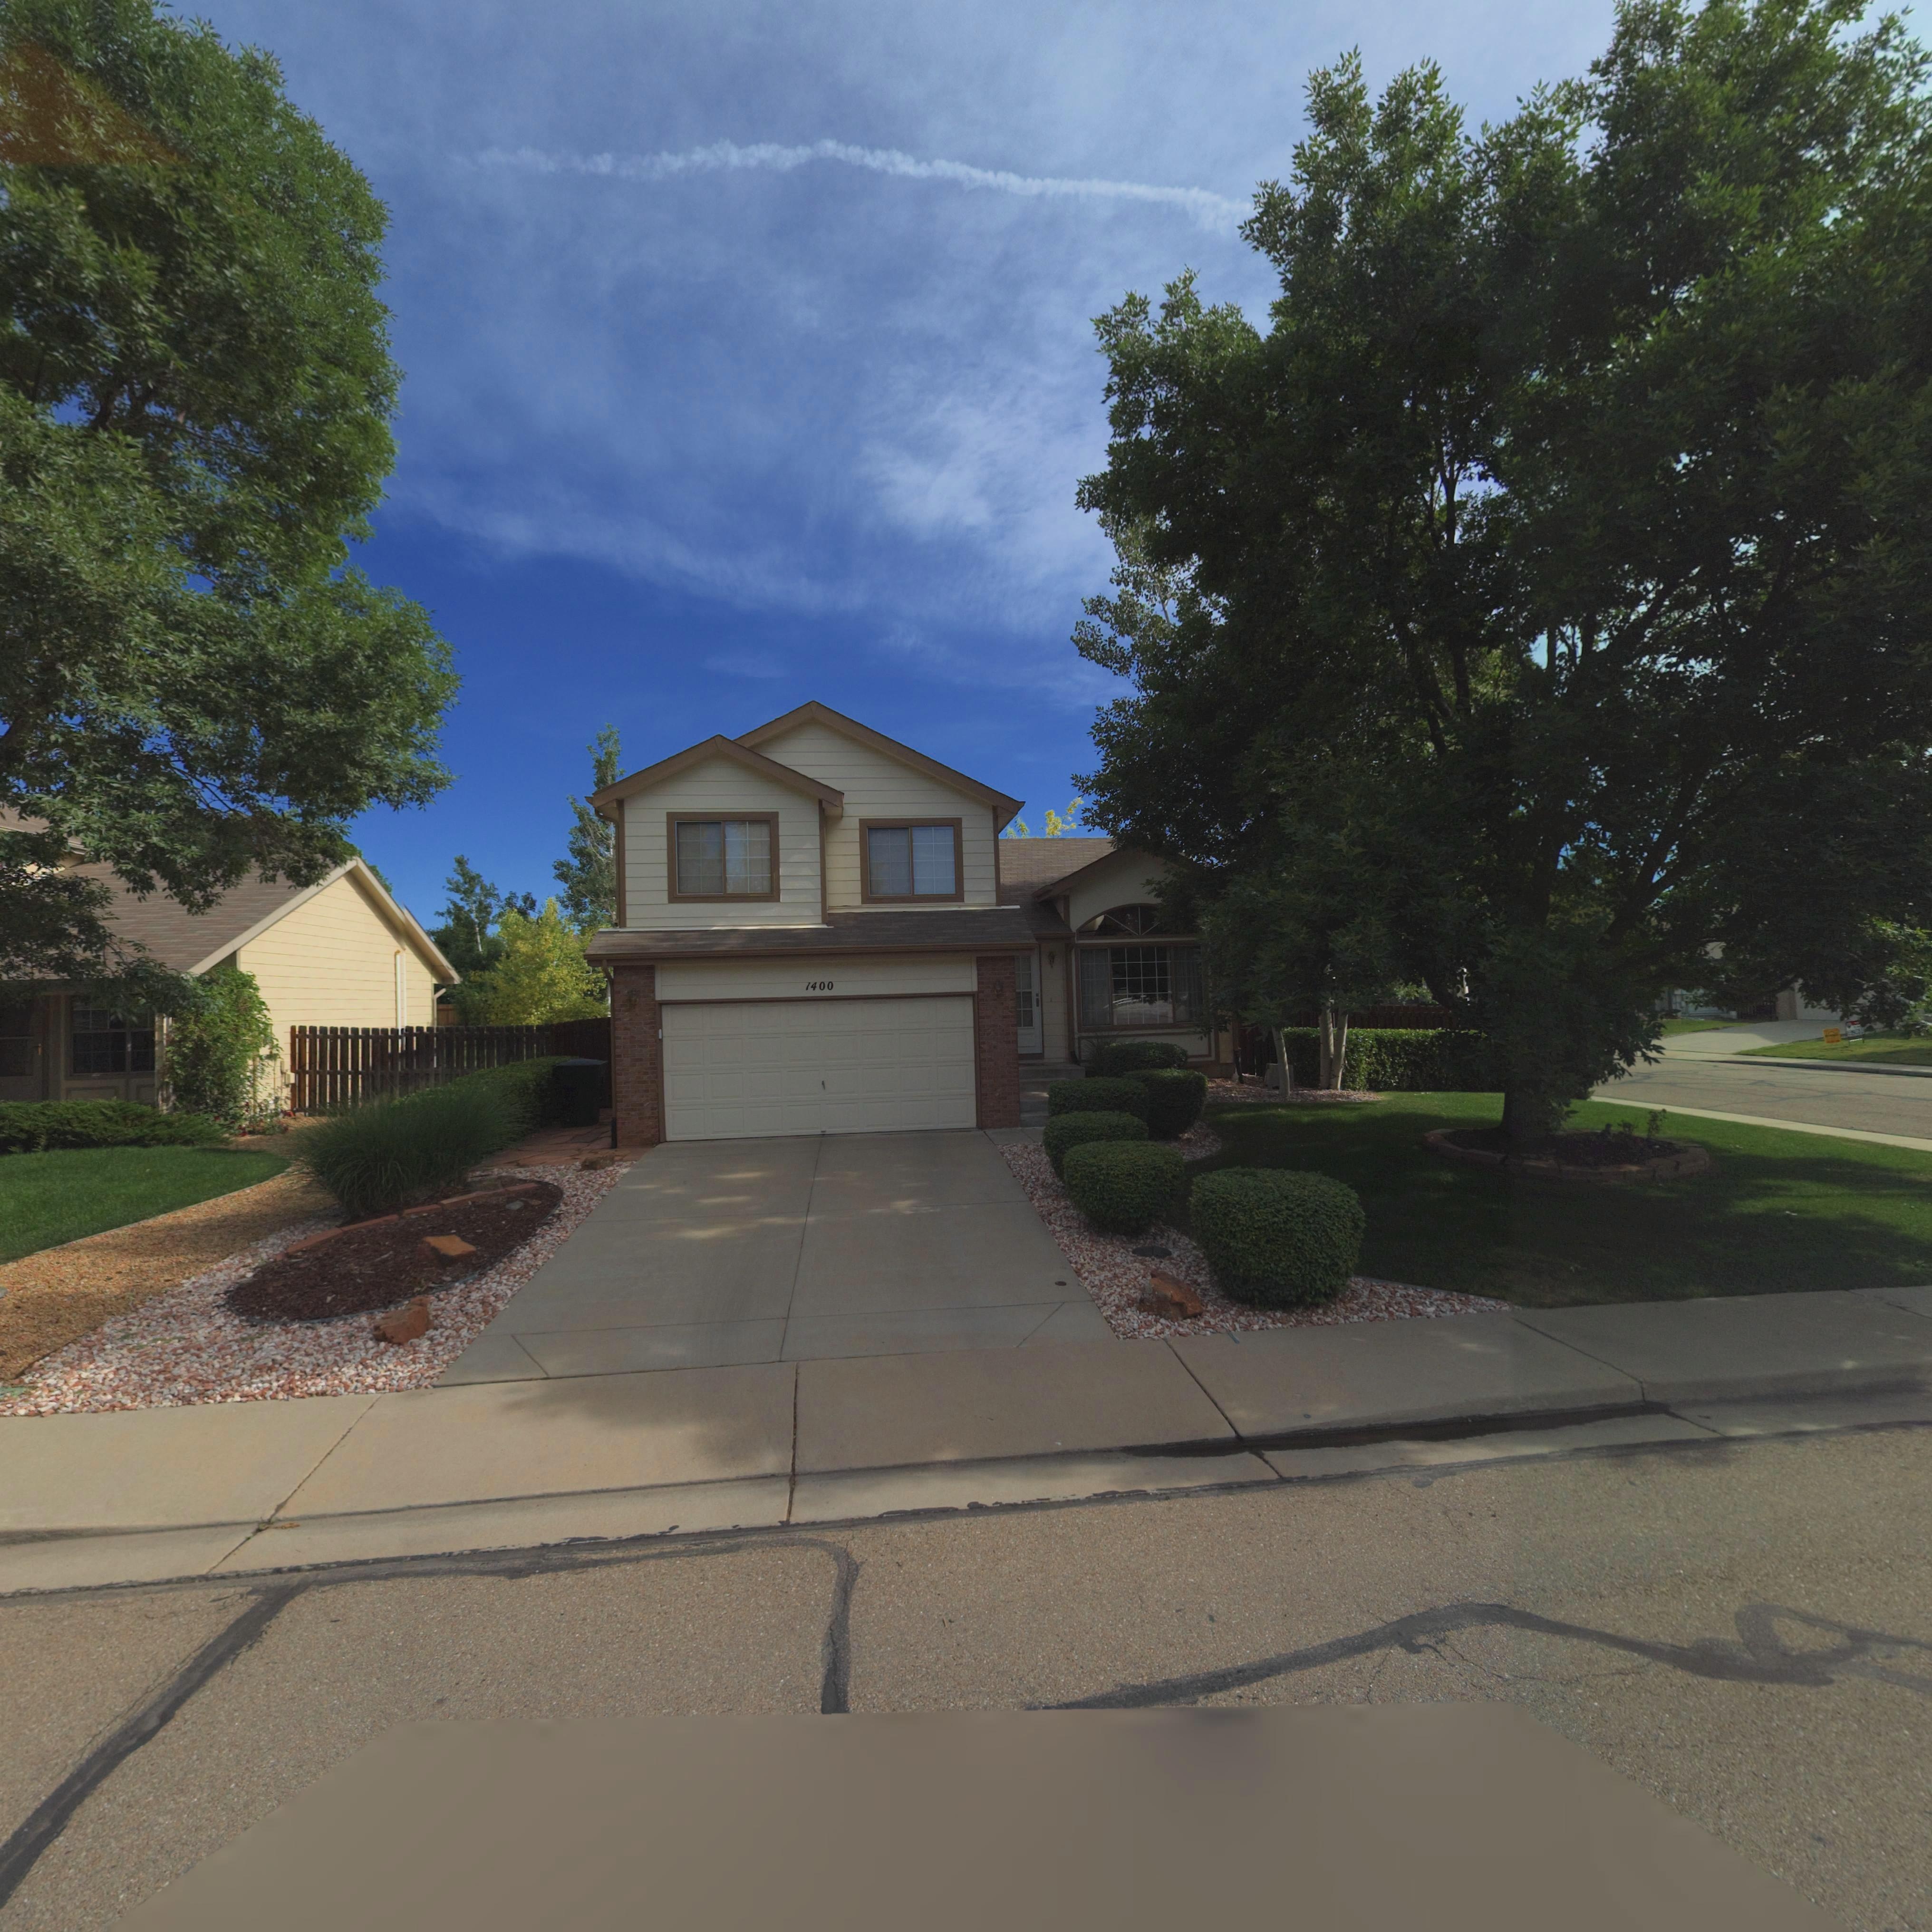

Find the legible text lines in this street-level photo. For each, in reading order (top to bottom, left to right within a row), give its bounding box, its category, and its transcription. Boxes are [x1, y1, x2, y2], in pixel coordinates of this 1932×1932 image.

[805, 980, 834, 991] StreetNumber: 1400